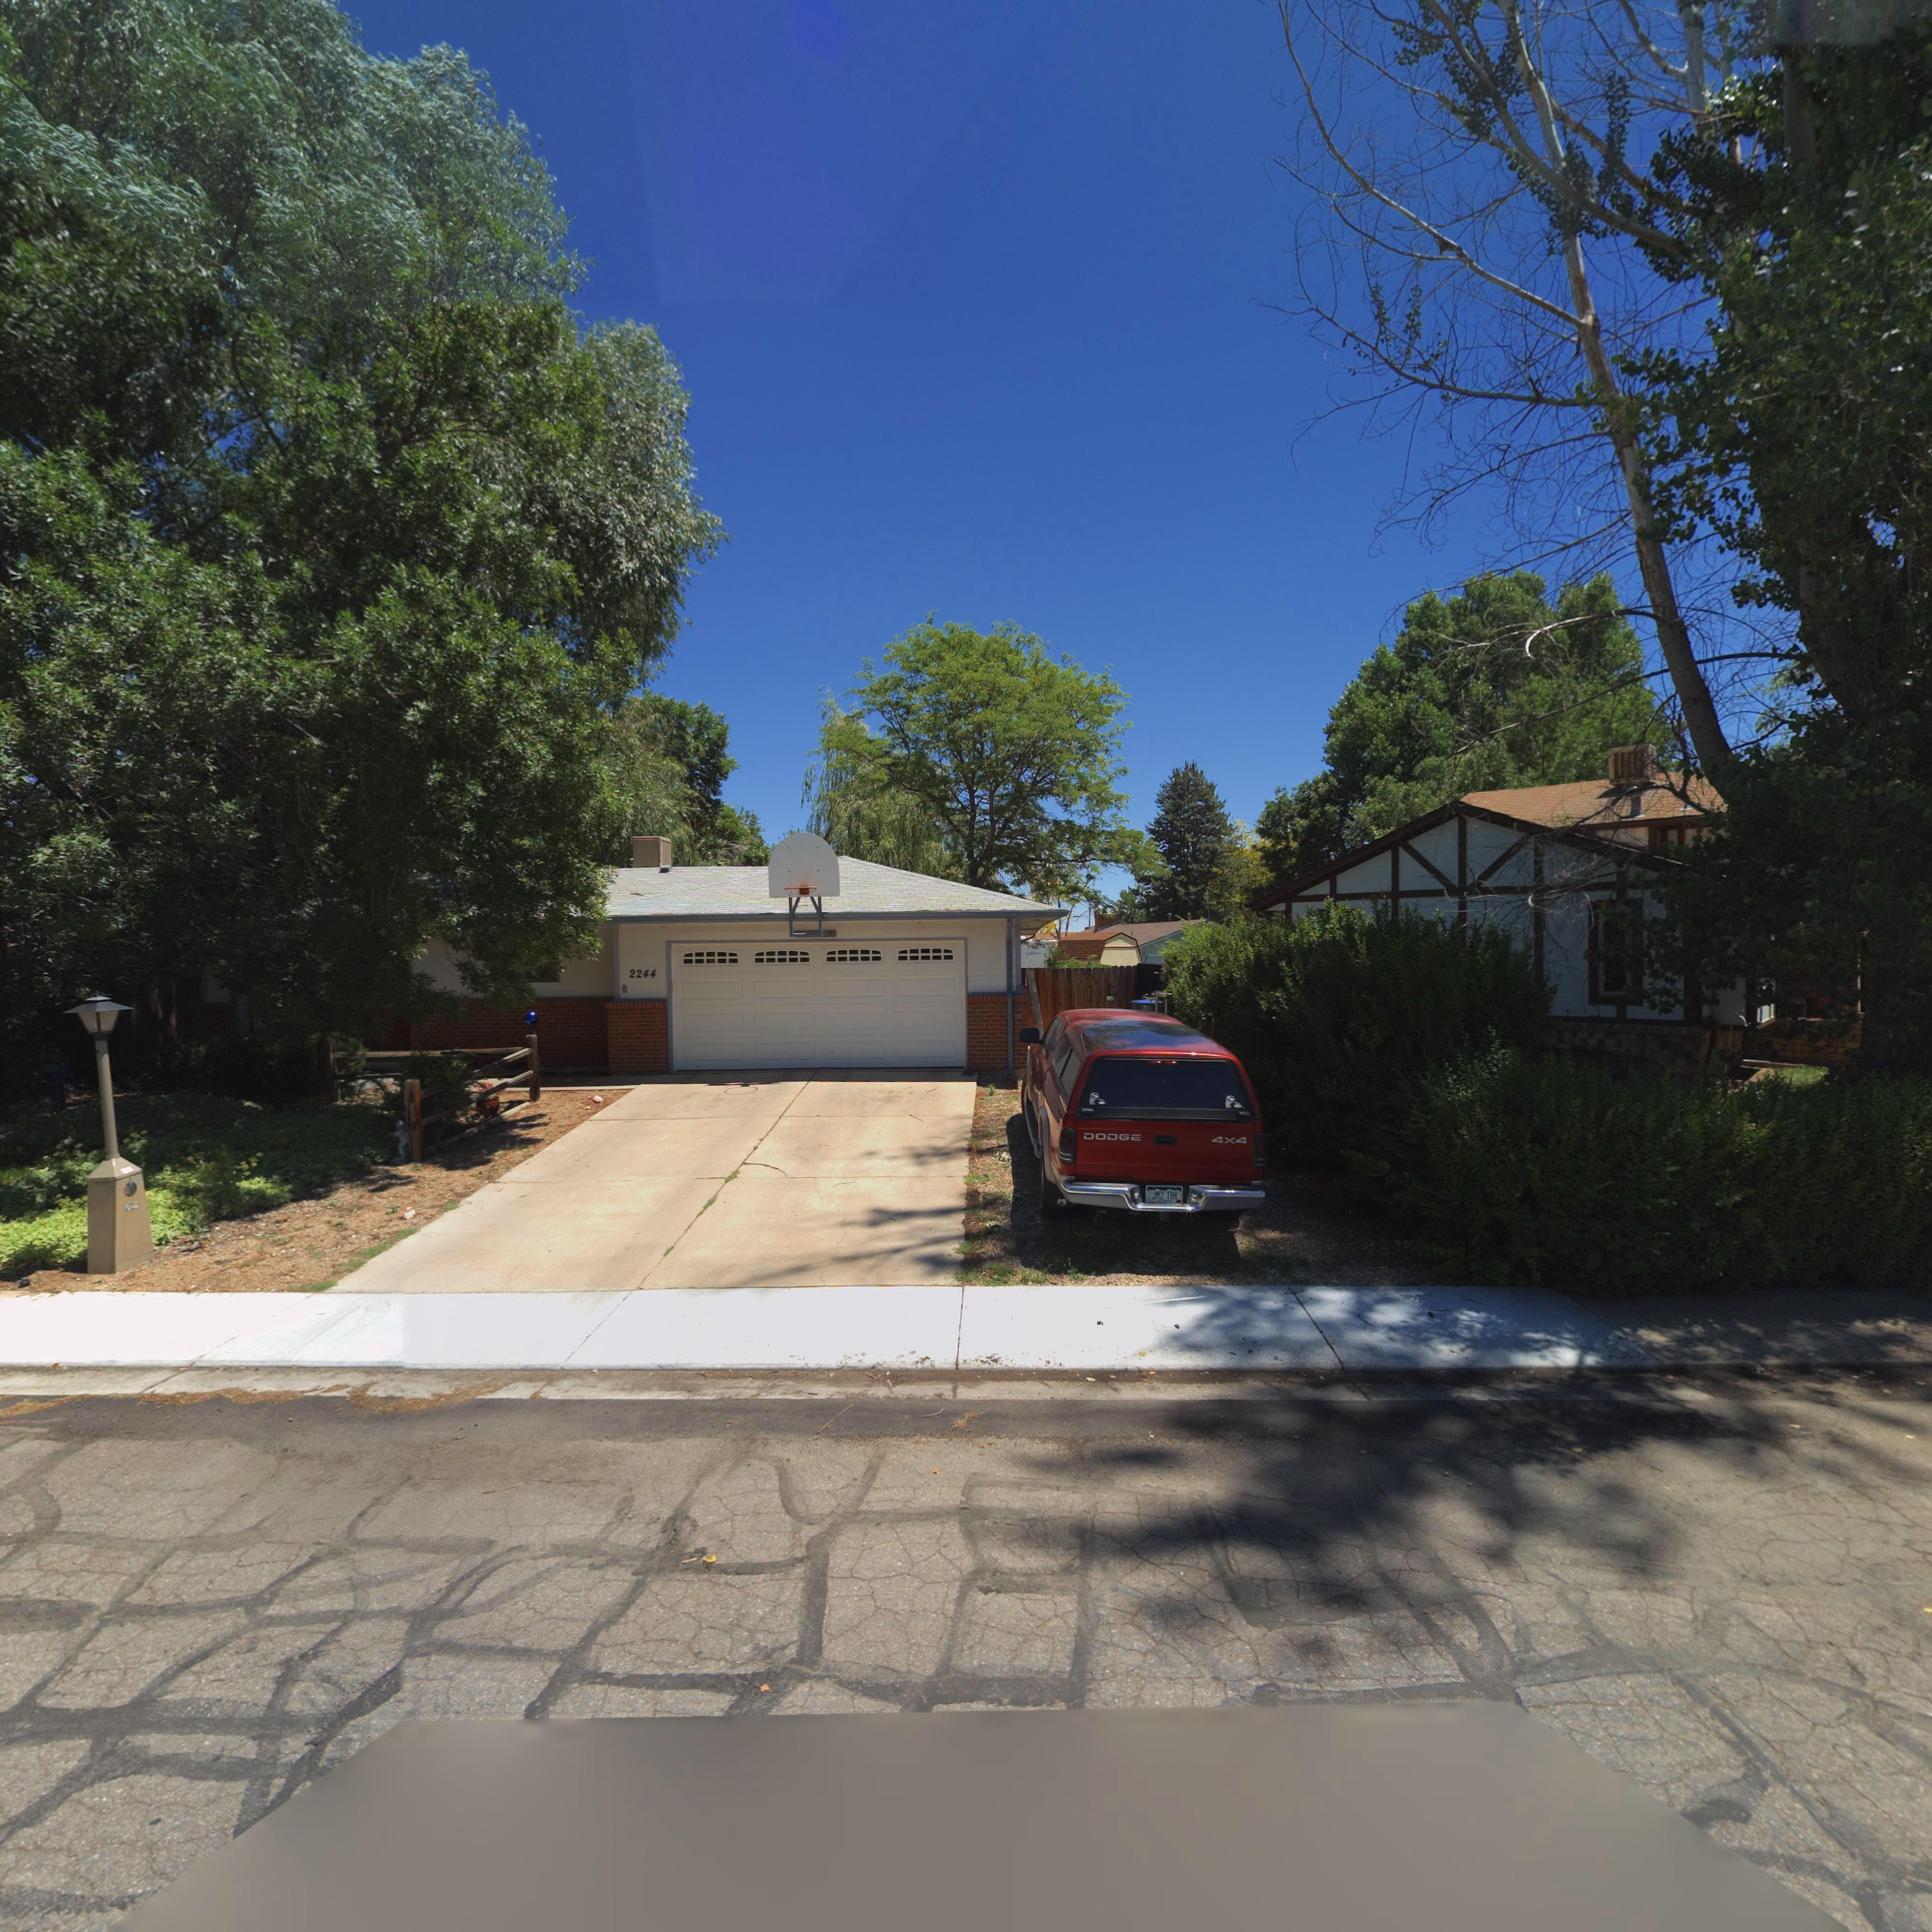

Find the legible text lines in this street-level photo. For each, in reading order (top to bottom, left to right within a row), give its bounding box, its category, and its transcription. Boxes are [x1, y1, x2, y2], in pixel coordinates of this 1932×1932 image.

[628, 968, 657, 978] StreetNumber: 2244